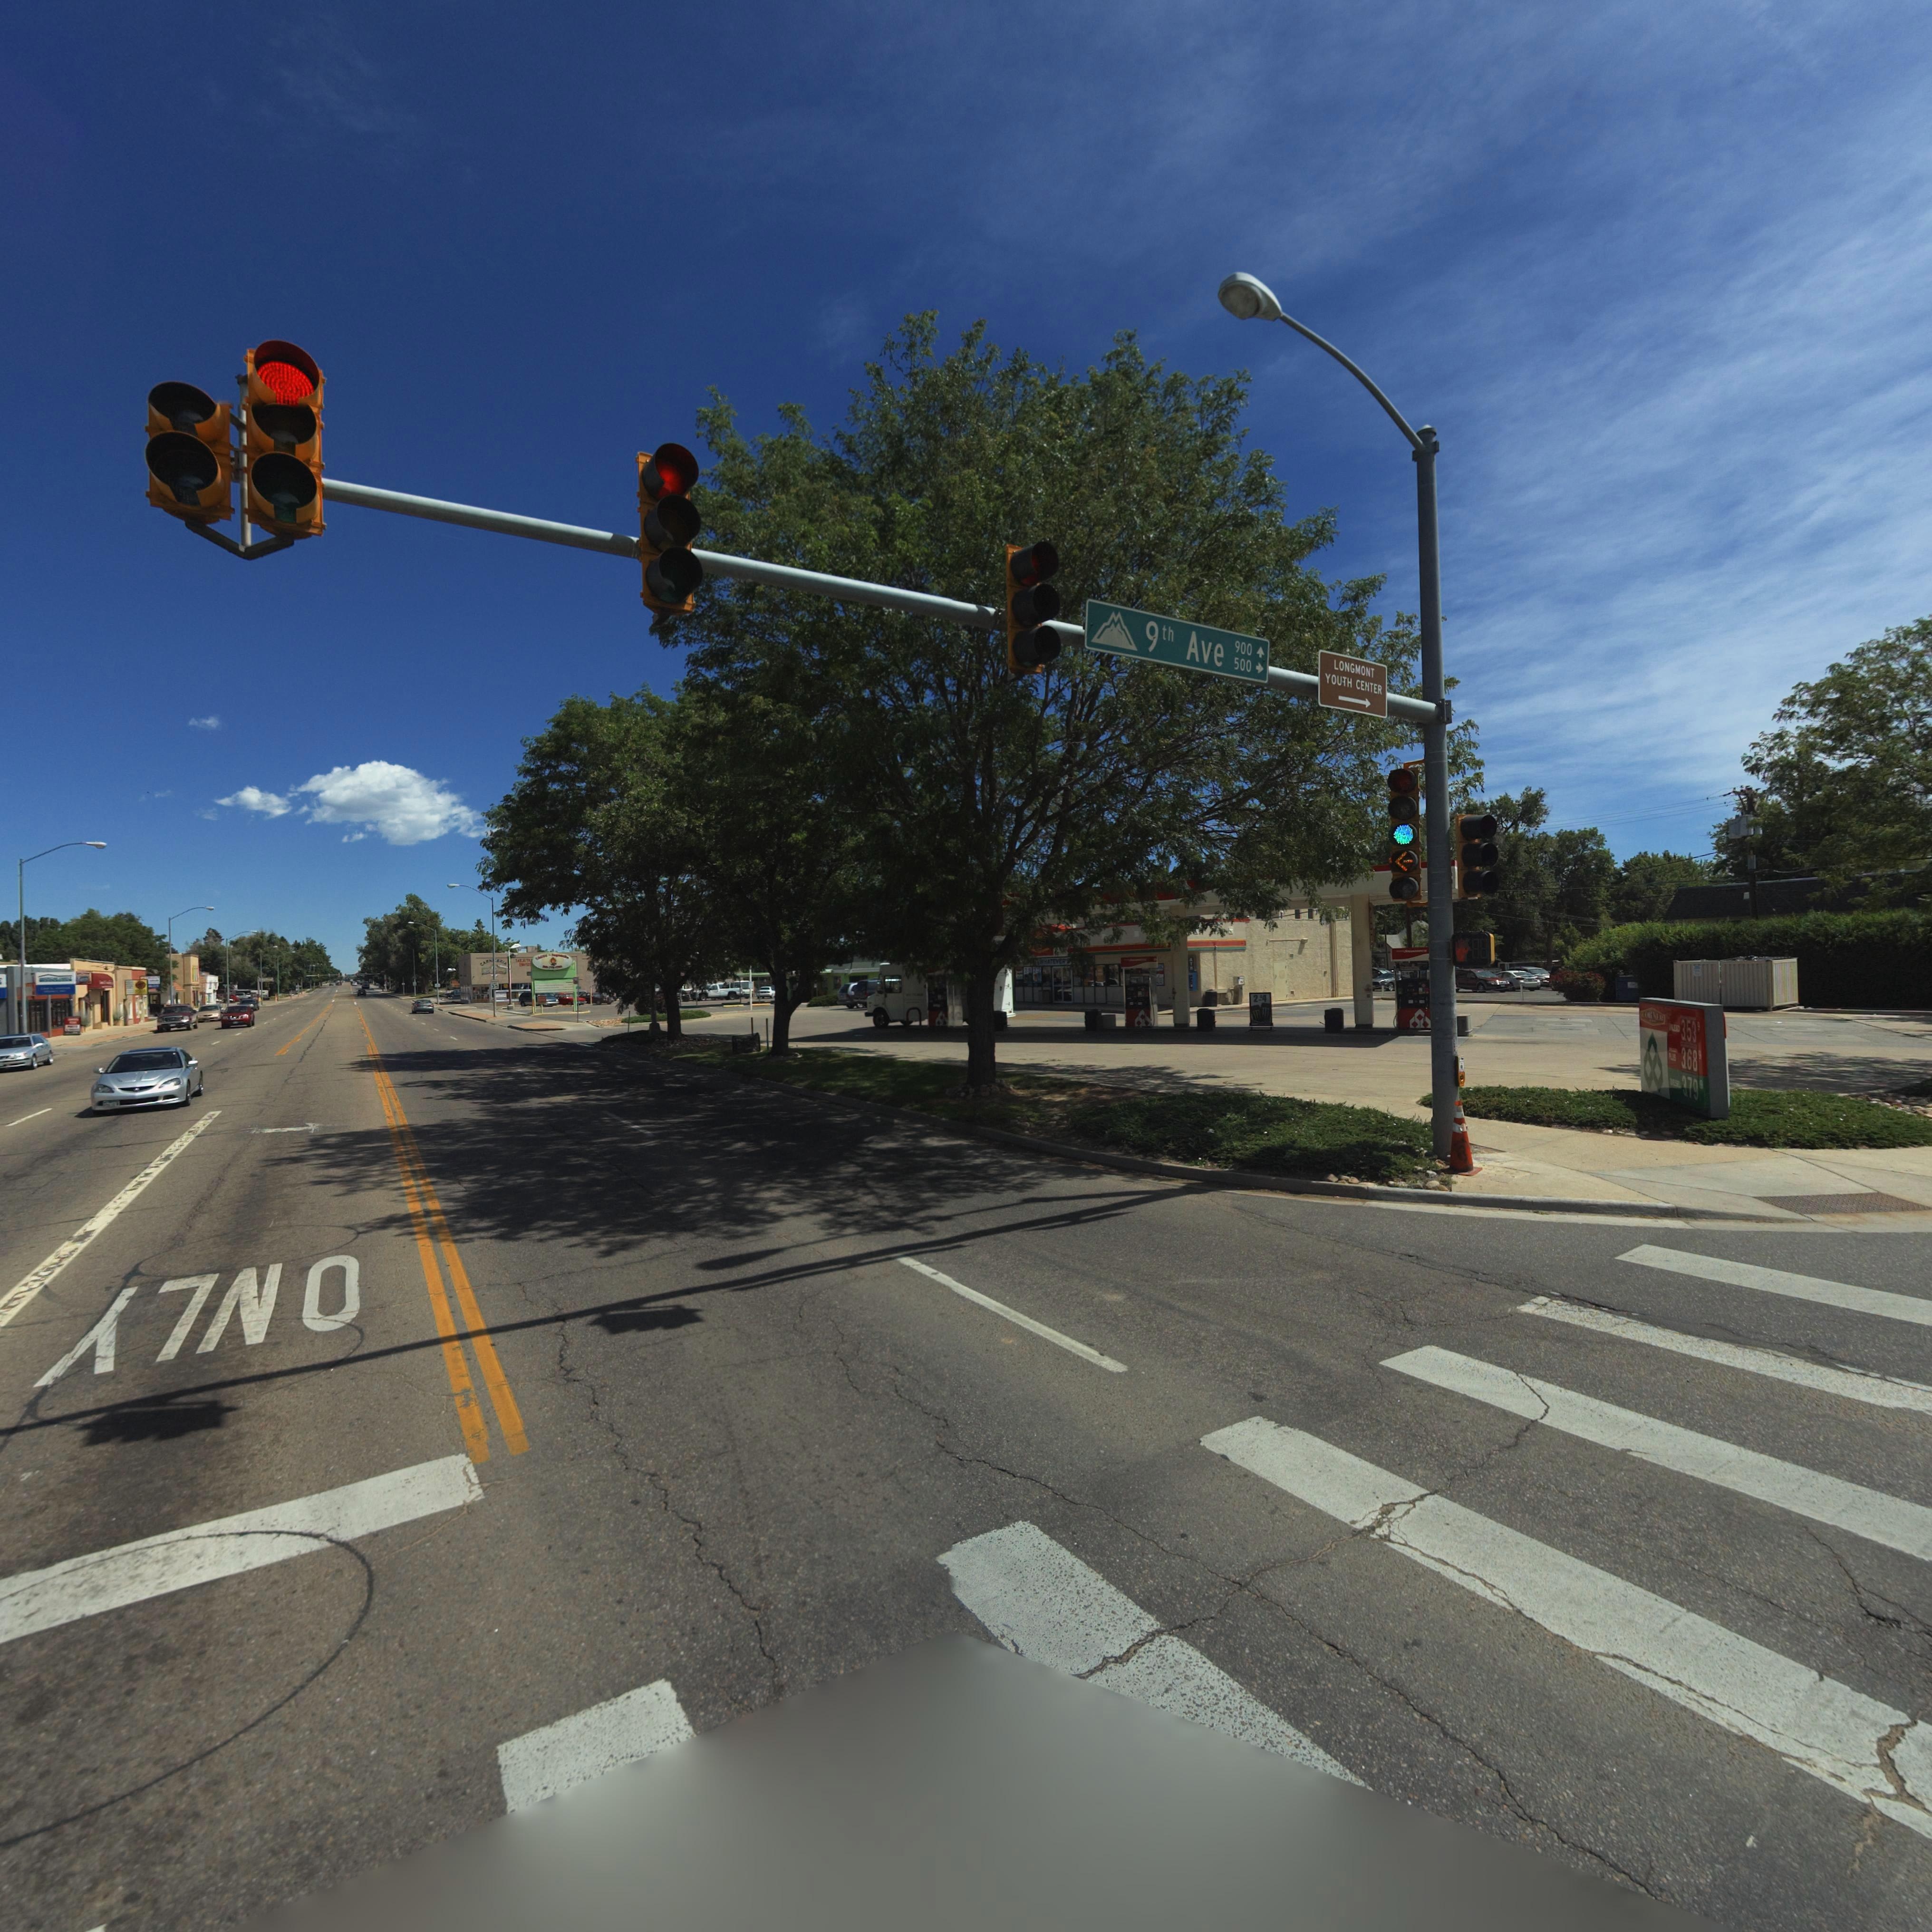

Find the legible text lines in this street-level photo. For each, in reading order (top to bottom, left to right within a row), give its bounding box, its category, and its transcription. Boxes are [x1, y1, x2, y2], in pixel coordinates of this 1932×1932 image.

[1145, 619, 1226, 668] StreetName: 9th Ave
[1234, 639, 1253, 657] StreetNumberRange: 900
[1234, 656, 1265, 674] StreetNumberRange: 500->
[479, 958, 507, 966] BusinessName: CA******A
[534, 954, 548, 960] BusinessName: ***O*